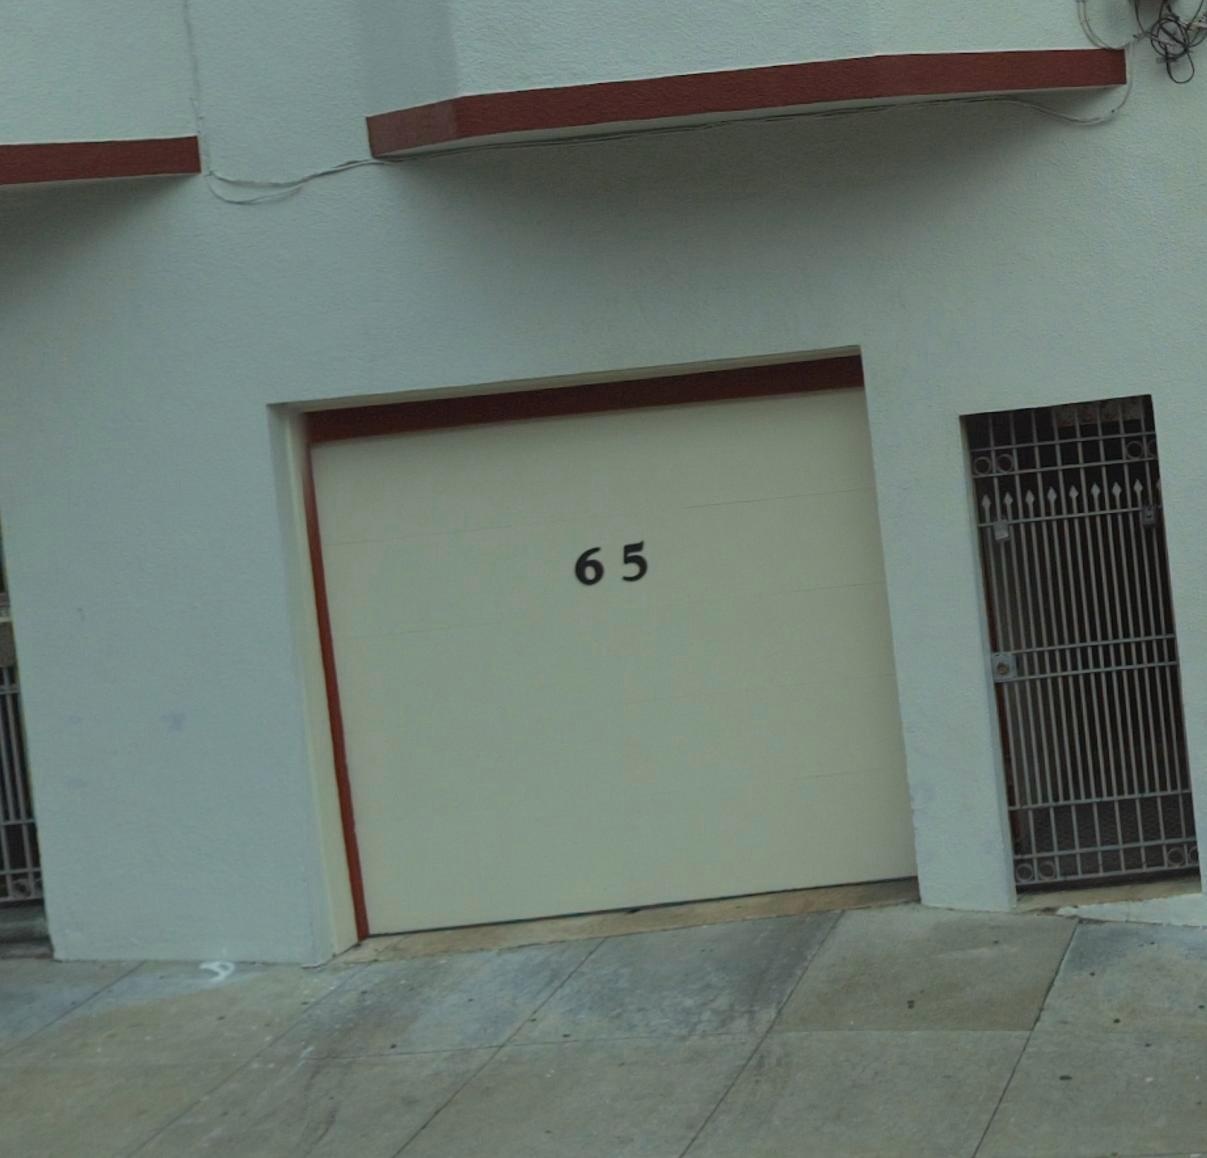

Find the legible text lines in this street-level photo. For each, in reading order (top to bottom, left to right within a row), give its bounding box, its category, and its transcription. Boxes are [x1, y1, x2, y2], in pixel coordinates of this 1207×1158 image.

[573, 538, 648, 587] StreetNumber: 65